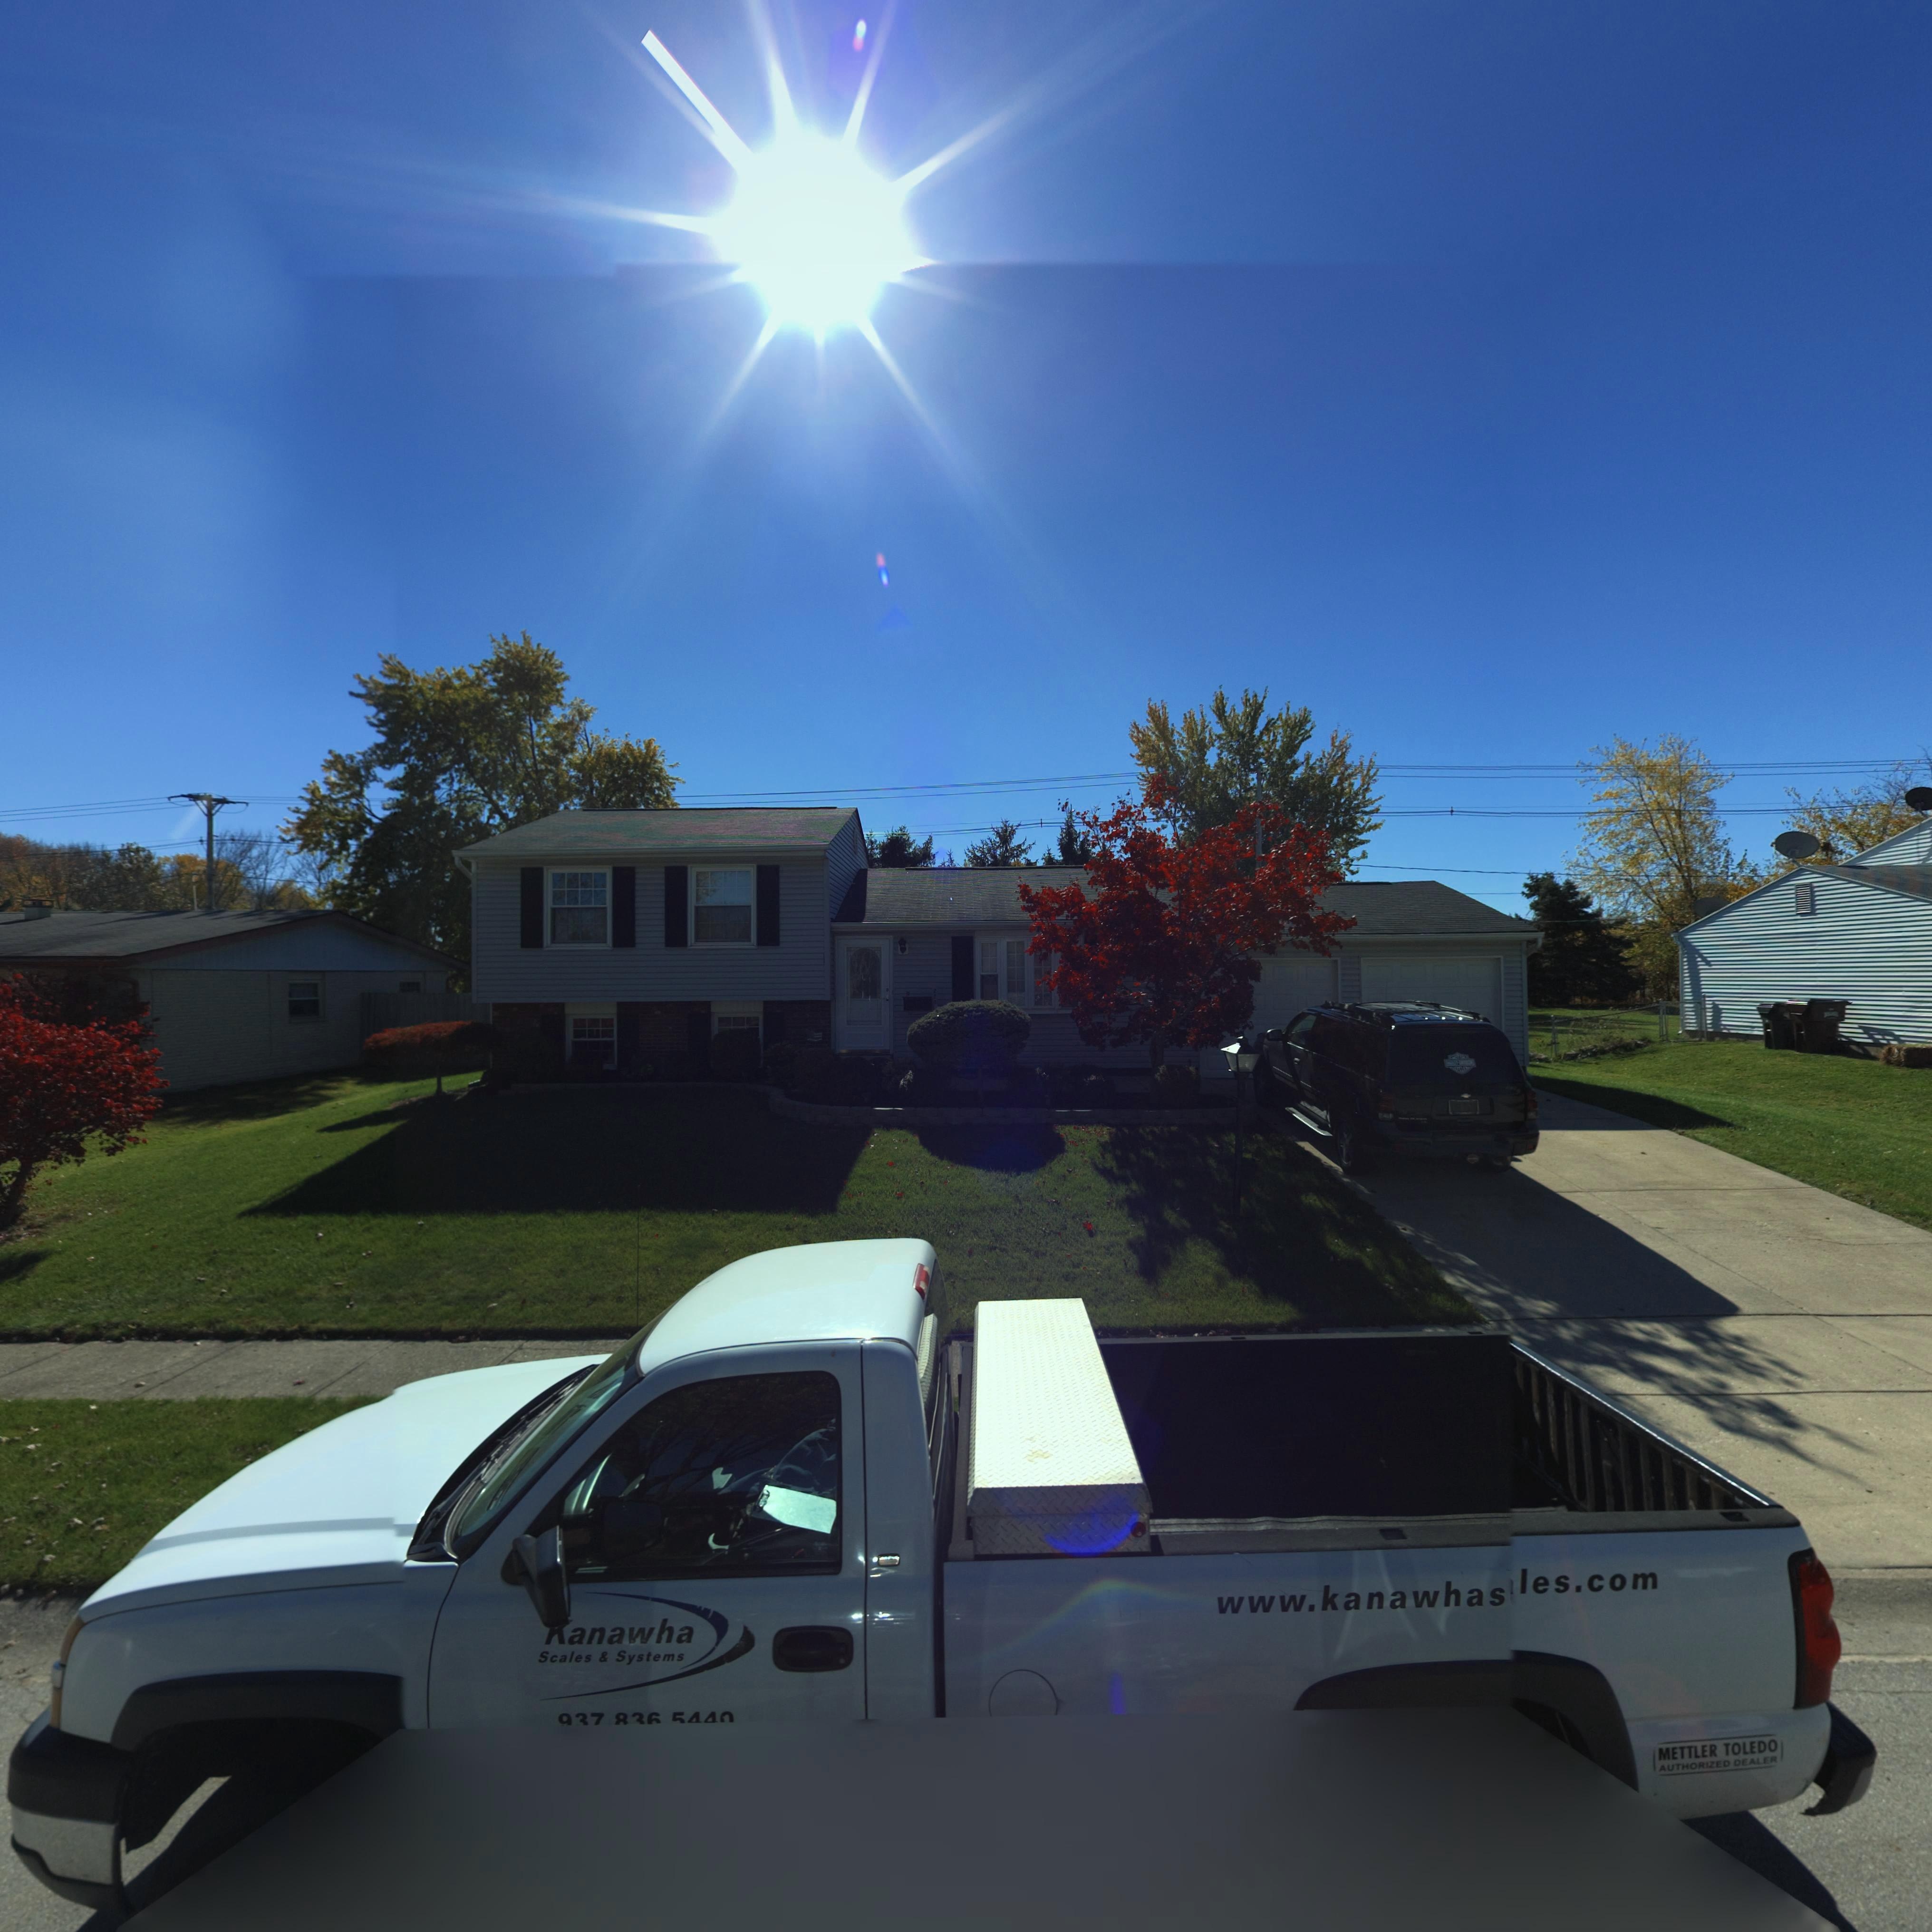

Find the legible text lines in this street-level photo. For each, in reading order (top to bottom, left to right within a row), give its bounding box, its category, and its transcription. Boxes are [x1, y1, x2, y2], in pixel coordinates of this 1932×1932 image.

[933, 988, 937, 1005] StreetNumber: 2**